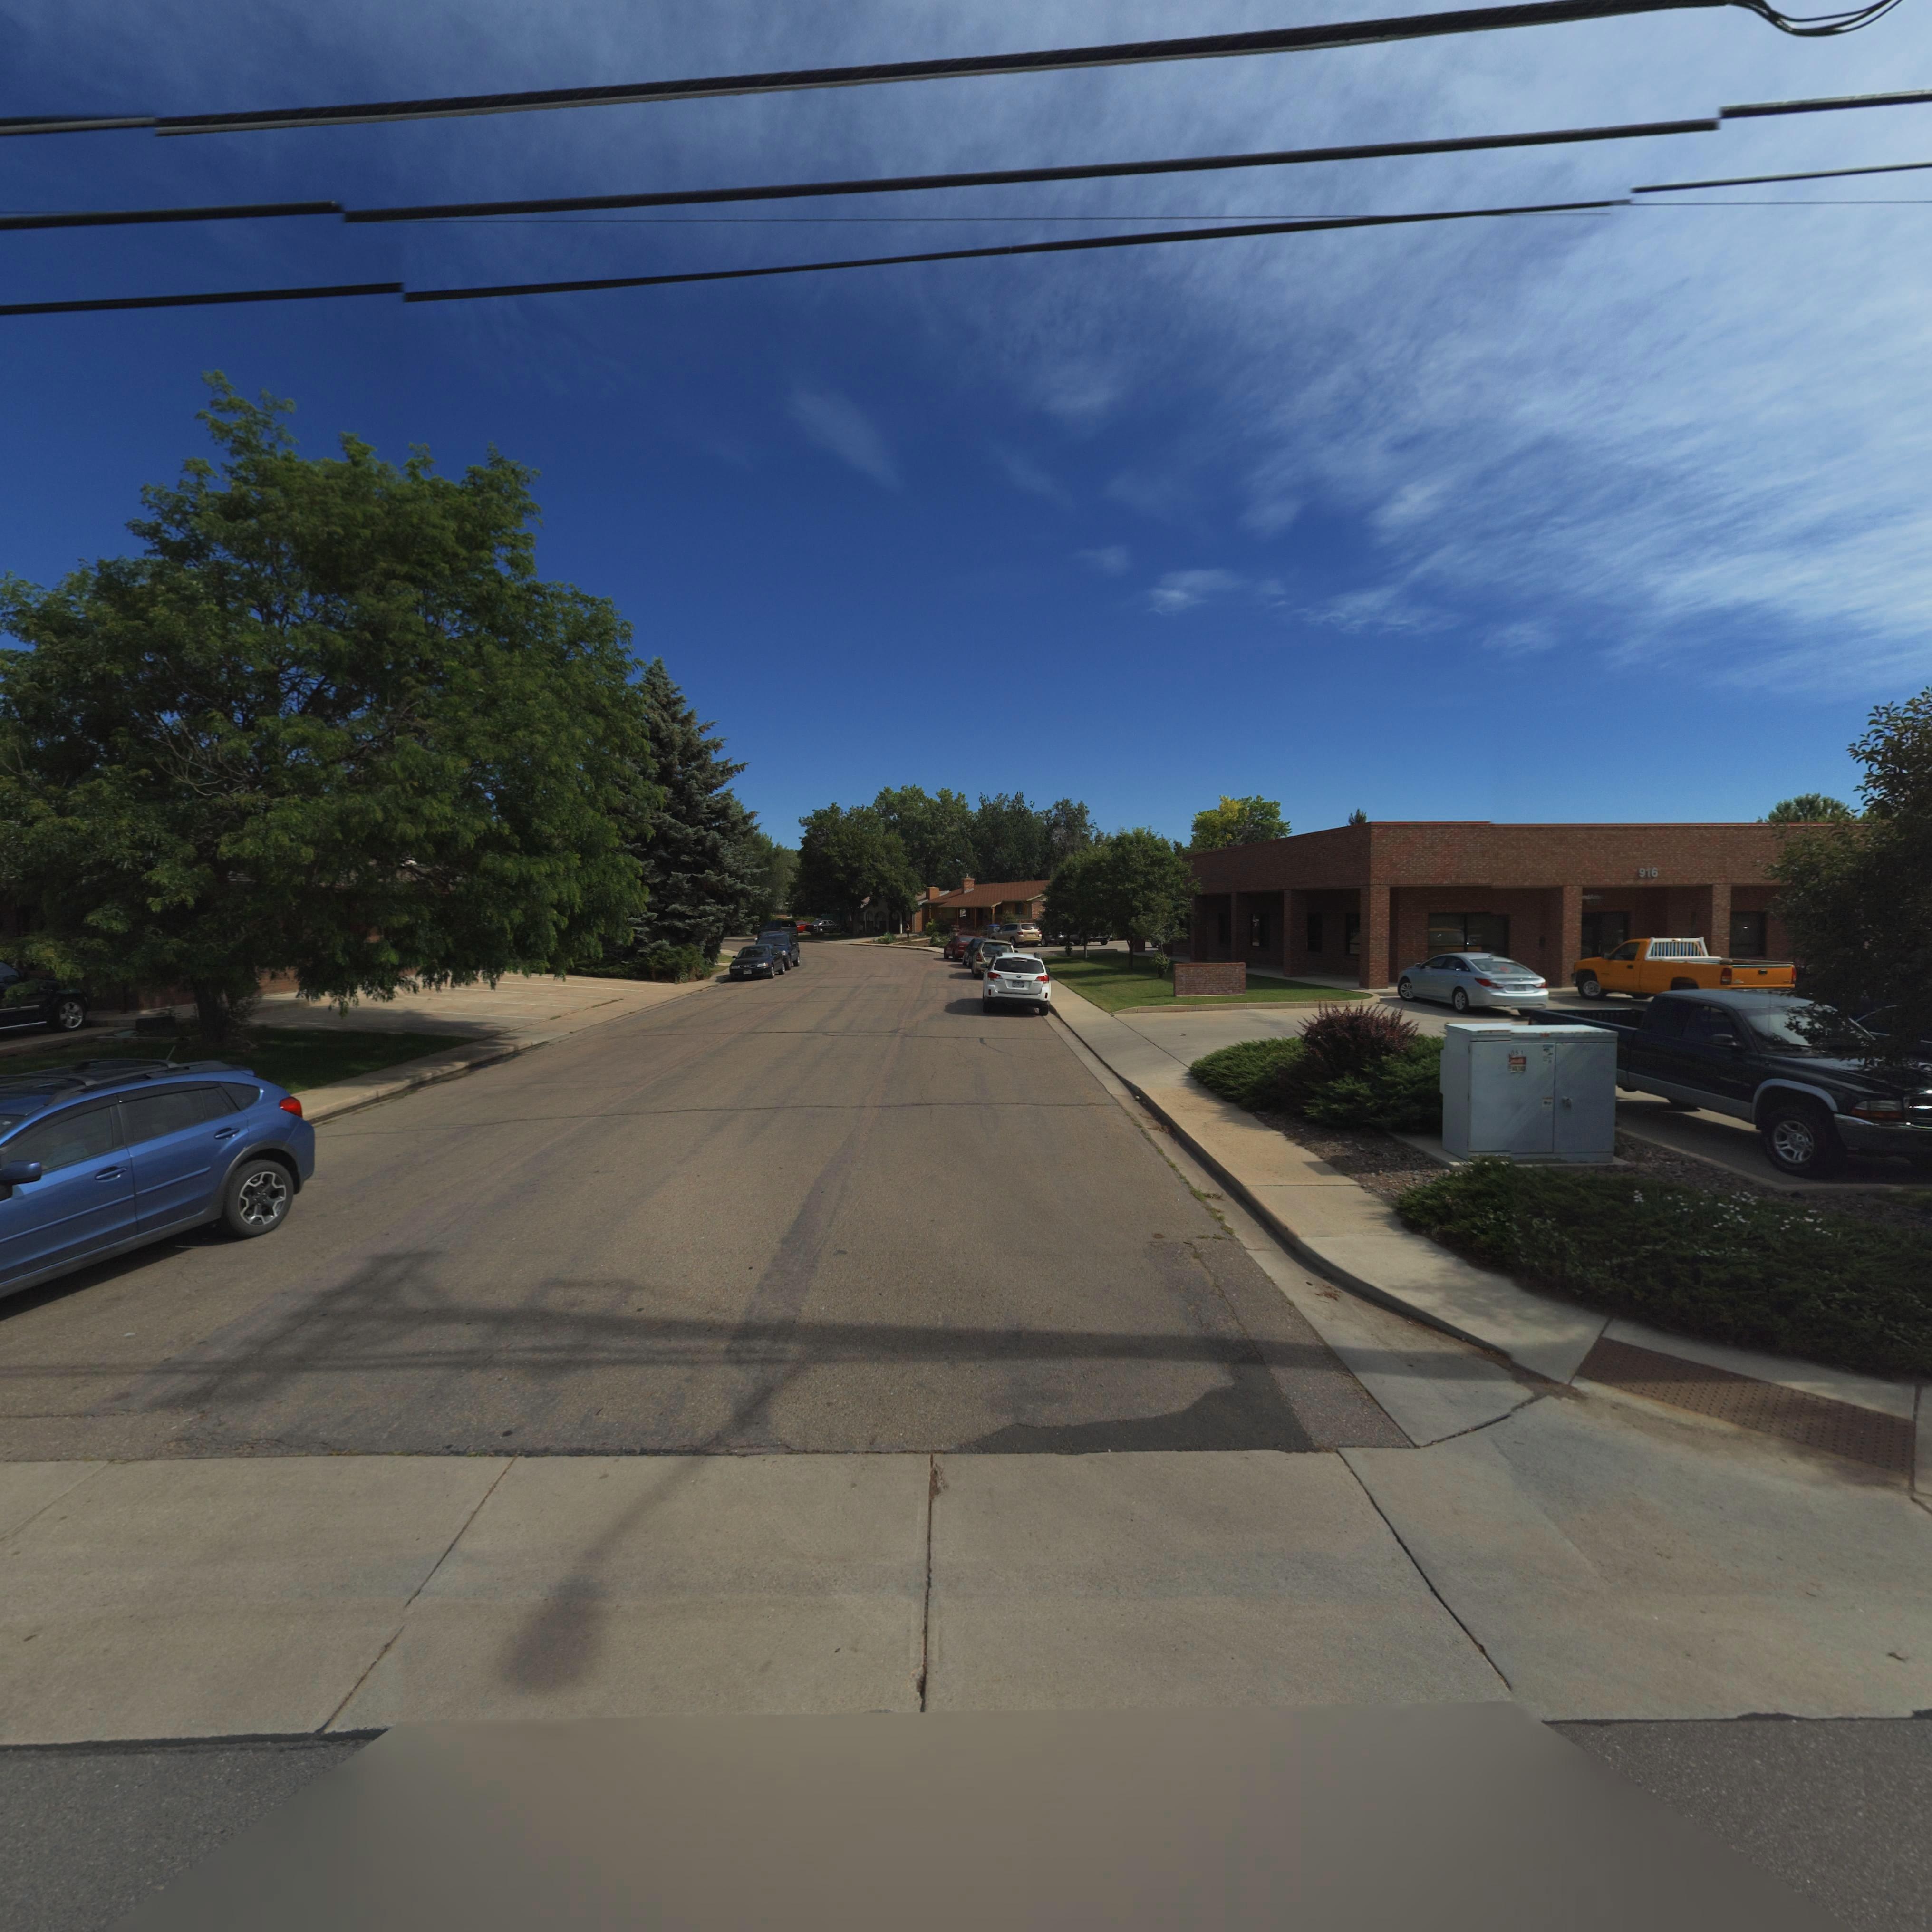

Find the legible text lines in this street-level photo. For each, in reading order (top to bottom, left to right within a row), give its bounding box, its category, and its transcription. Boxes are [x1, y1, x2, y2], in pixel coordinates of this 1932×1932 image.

[1638, 867, 1658, 878] StreetNumber: 916